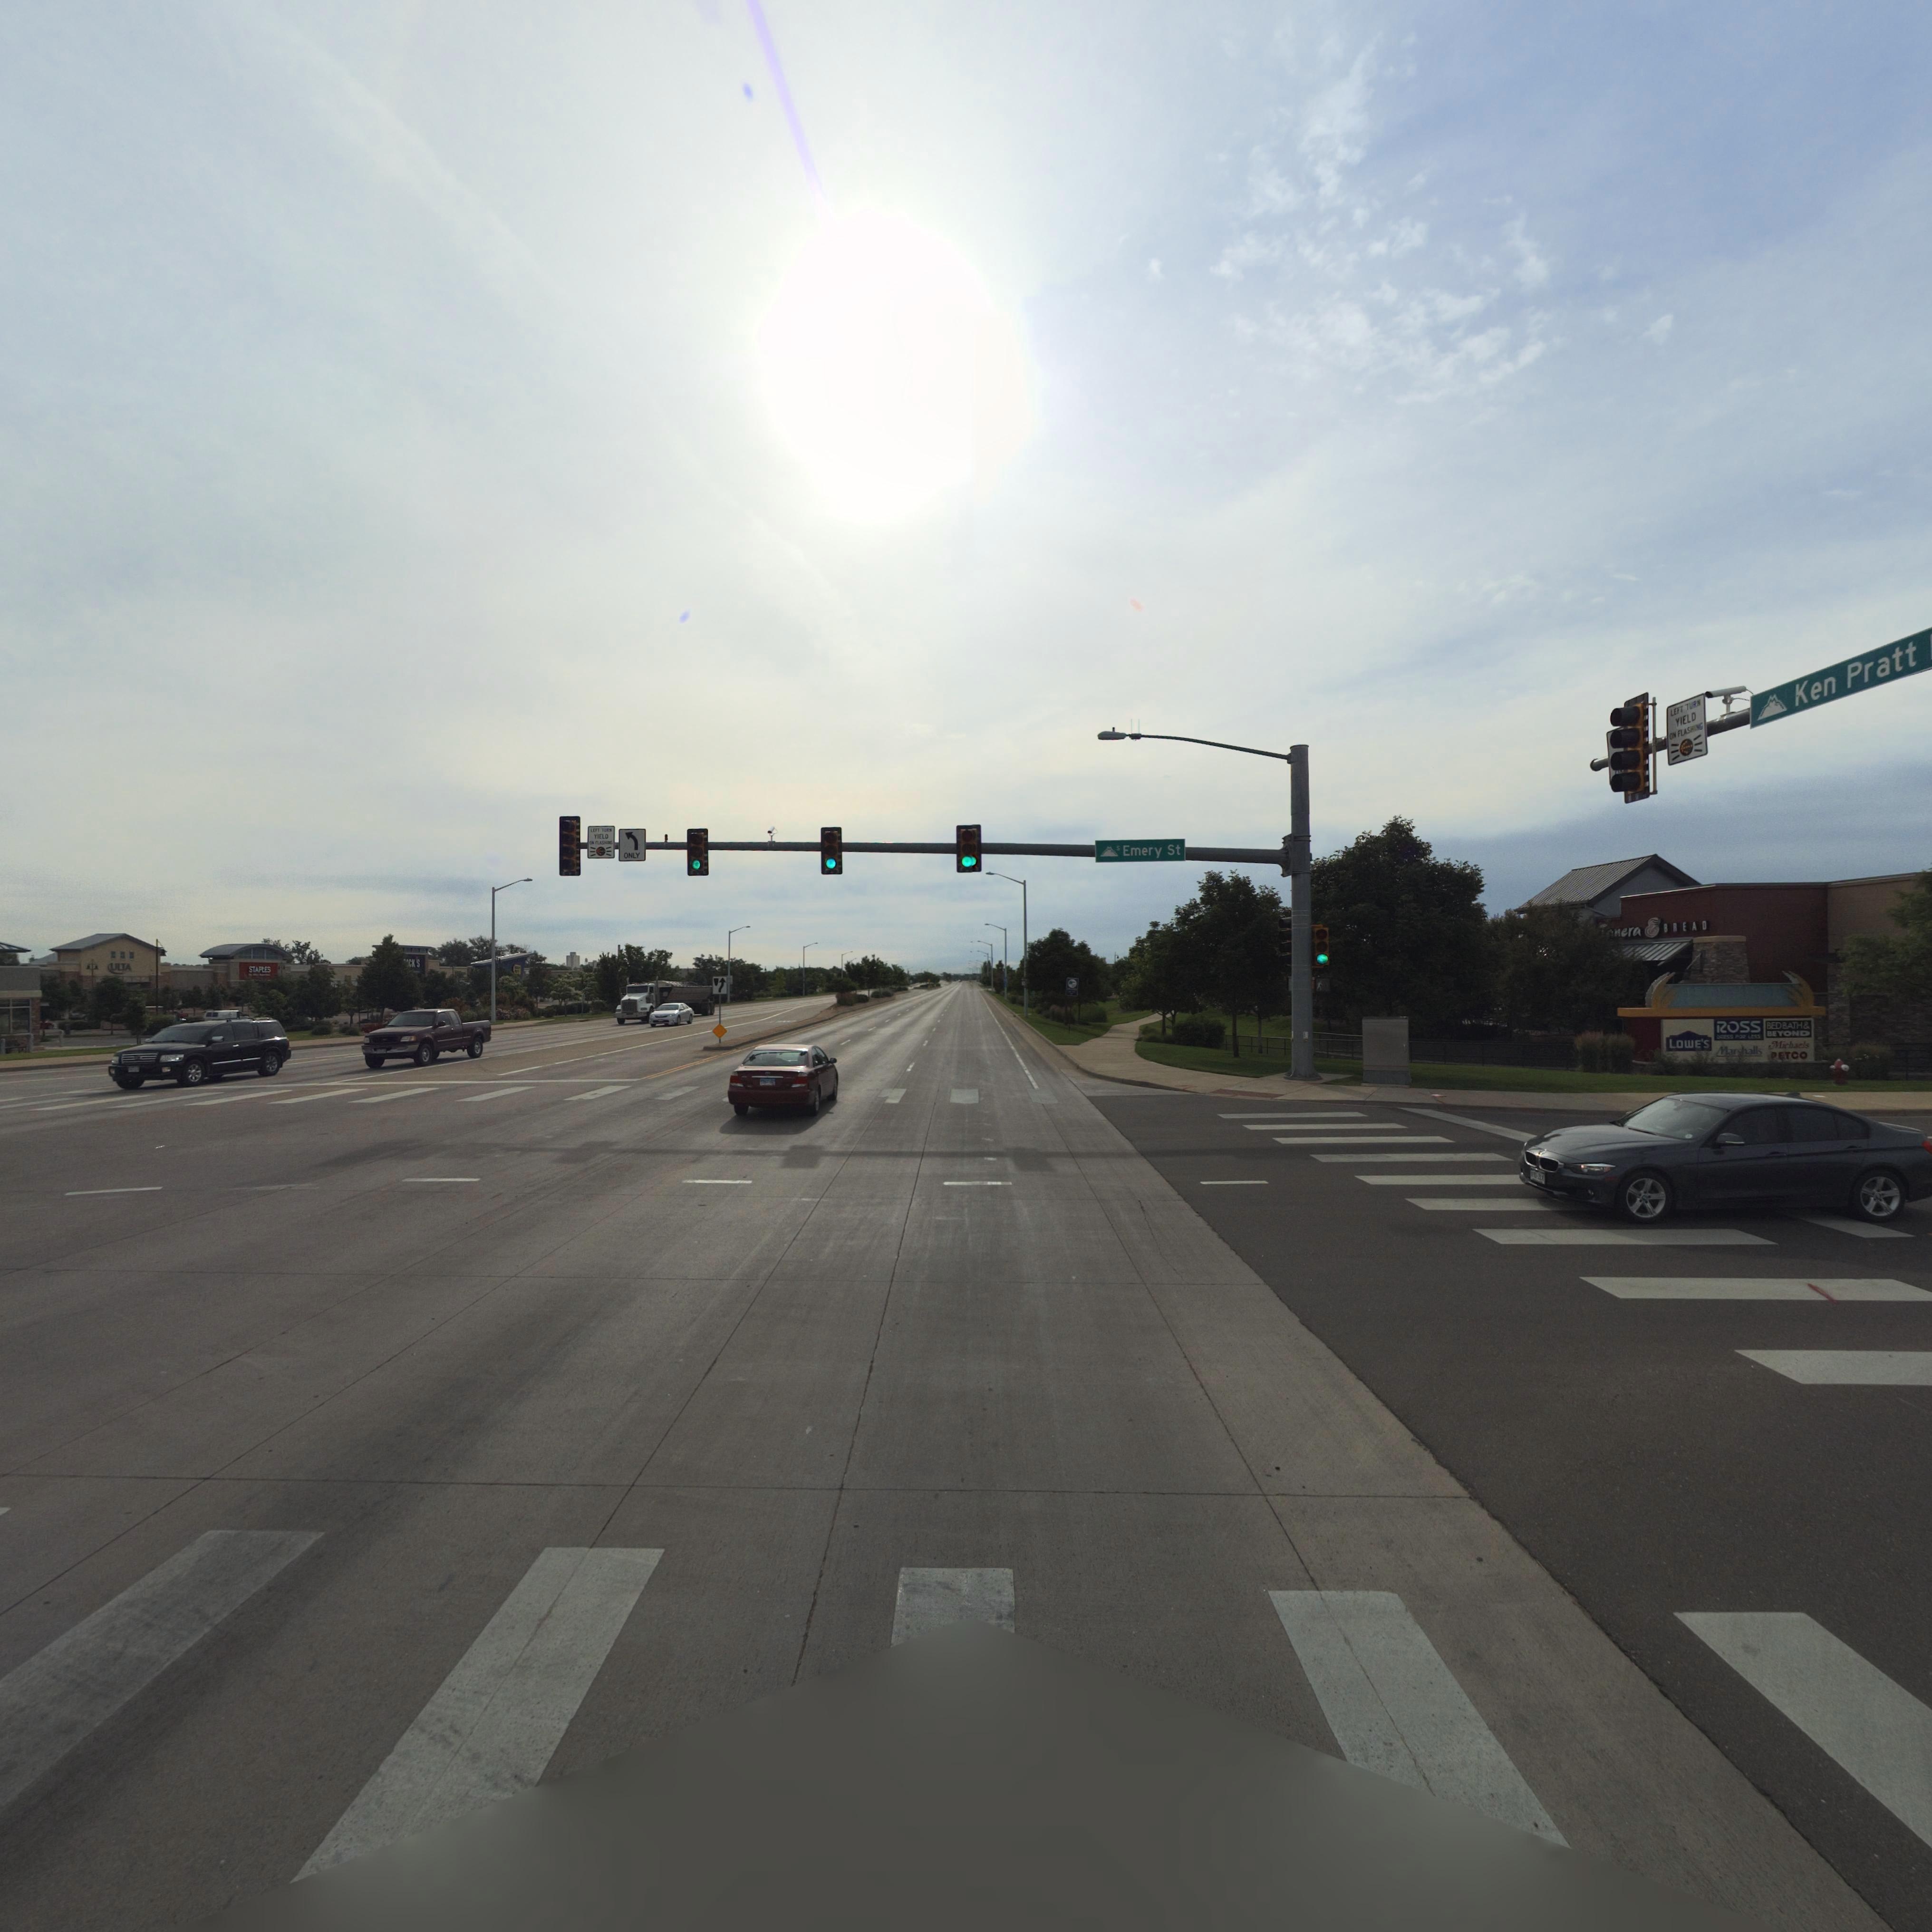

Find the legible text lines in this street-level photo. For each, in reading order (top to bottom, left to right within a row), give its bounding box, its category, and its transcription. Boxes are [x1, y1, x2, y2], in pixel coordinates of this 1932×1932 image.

[1794, 640, 1919, 708] StreetName: Ken Pratt
[1116, 844, 1181, 859] StreetName: S Emery St
[1595, 922, 1642, 938] BusinessName: **nera
[1663, 920, 1707, 933] BusinessName: BREAD
[110, 962, 132, 971] BusinessName: ULTA
[248, 966, 271, 973] BusinessName: STAPLES
[403, 956, 420, 967] BusinessName: **CK'S
[1716, 1020, 1760, 1033] BusinessName: ROSS
[1766, 1021, 1810, 1030] BusinessName: BED BATH &
[1766, 1030, 1810, 1037] BusinessName: BEYOND
[1669, 1037, 1710, 1049] BusinessName: Lowe's
[1715, 1045, 1763, 1055] BusinessName: Marshalls
[1767, 1040, 1809, 1050] BusinessName: Michael's
[1771, 1051, 1808, 1061] BusinessName: PETCO